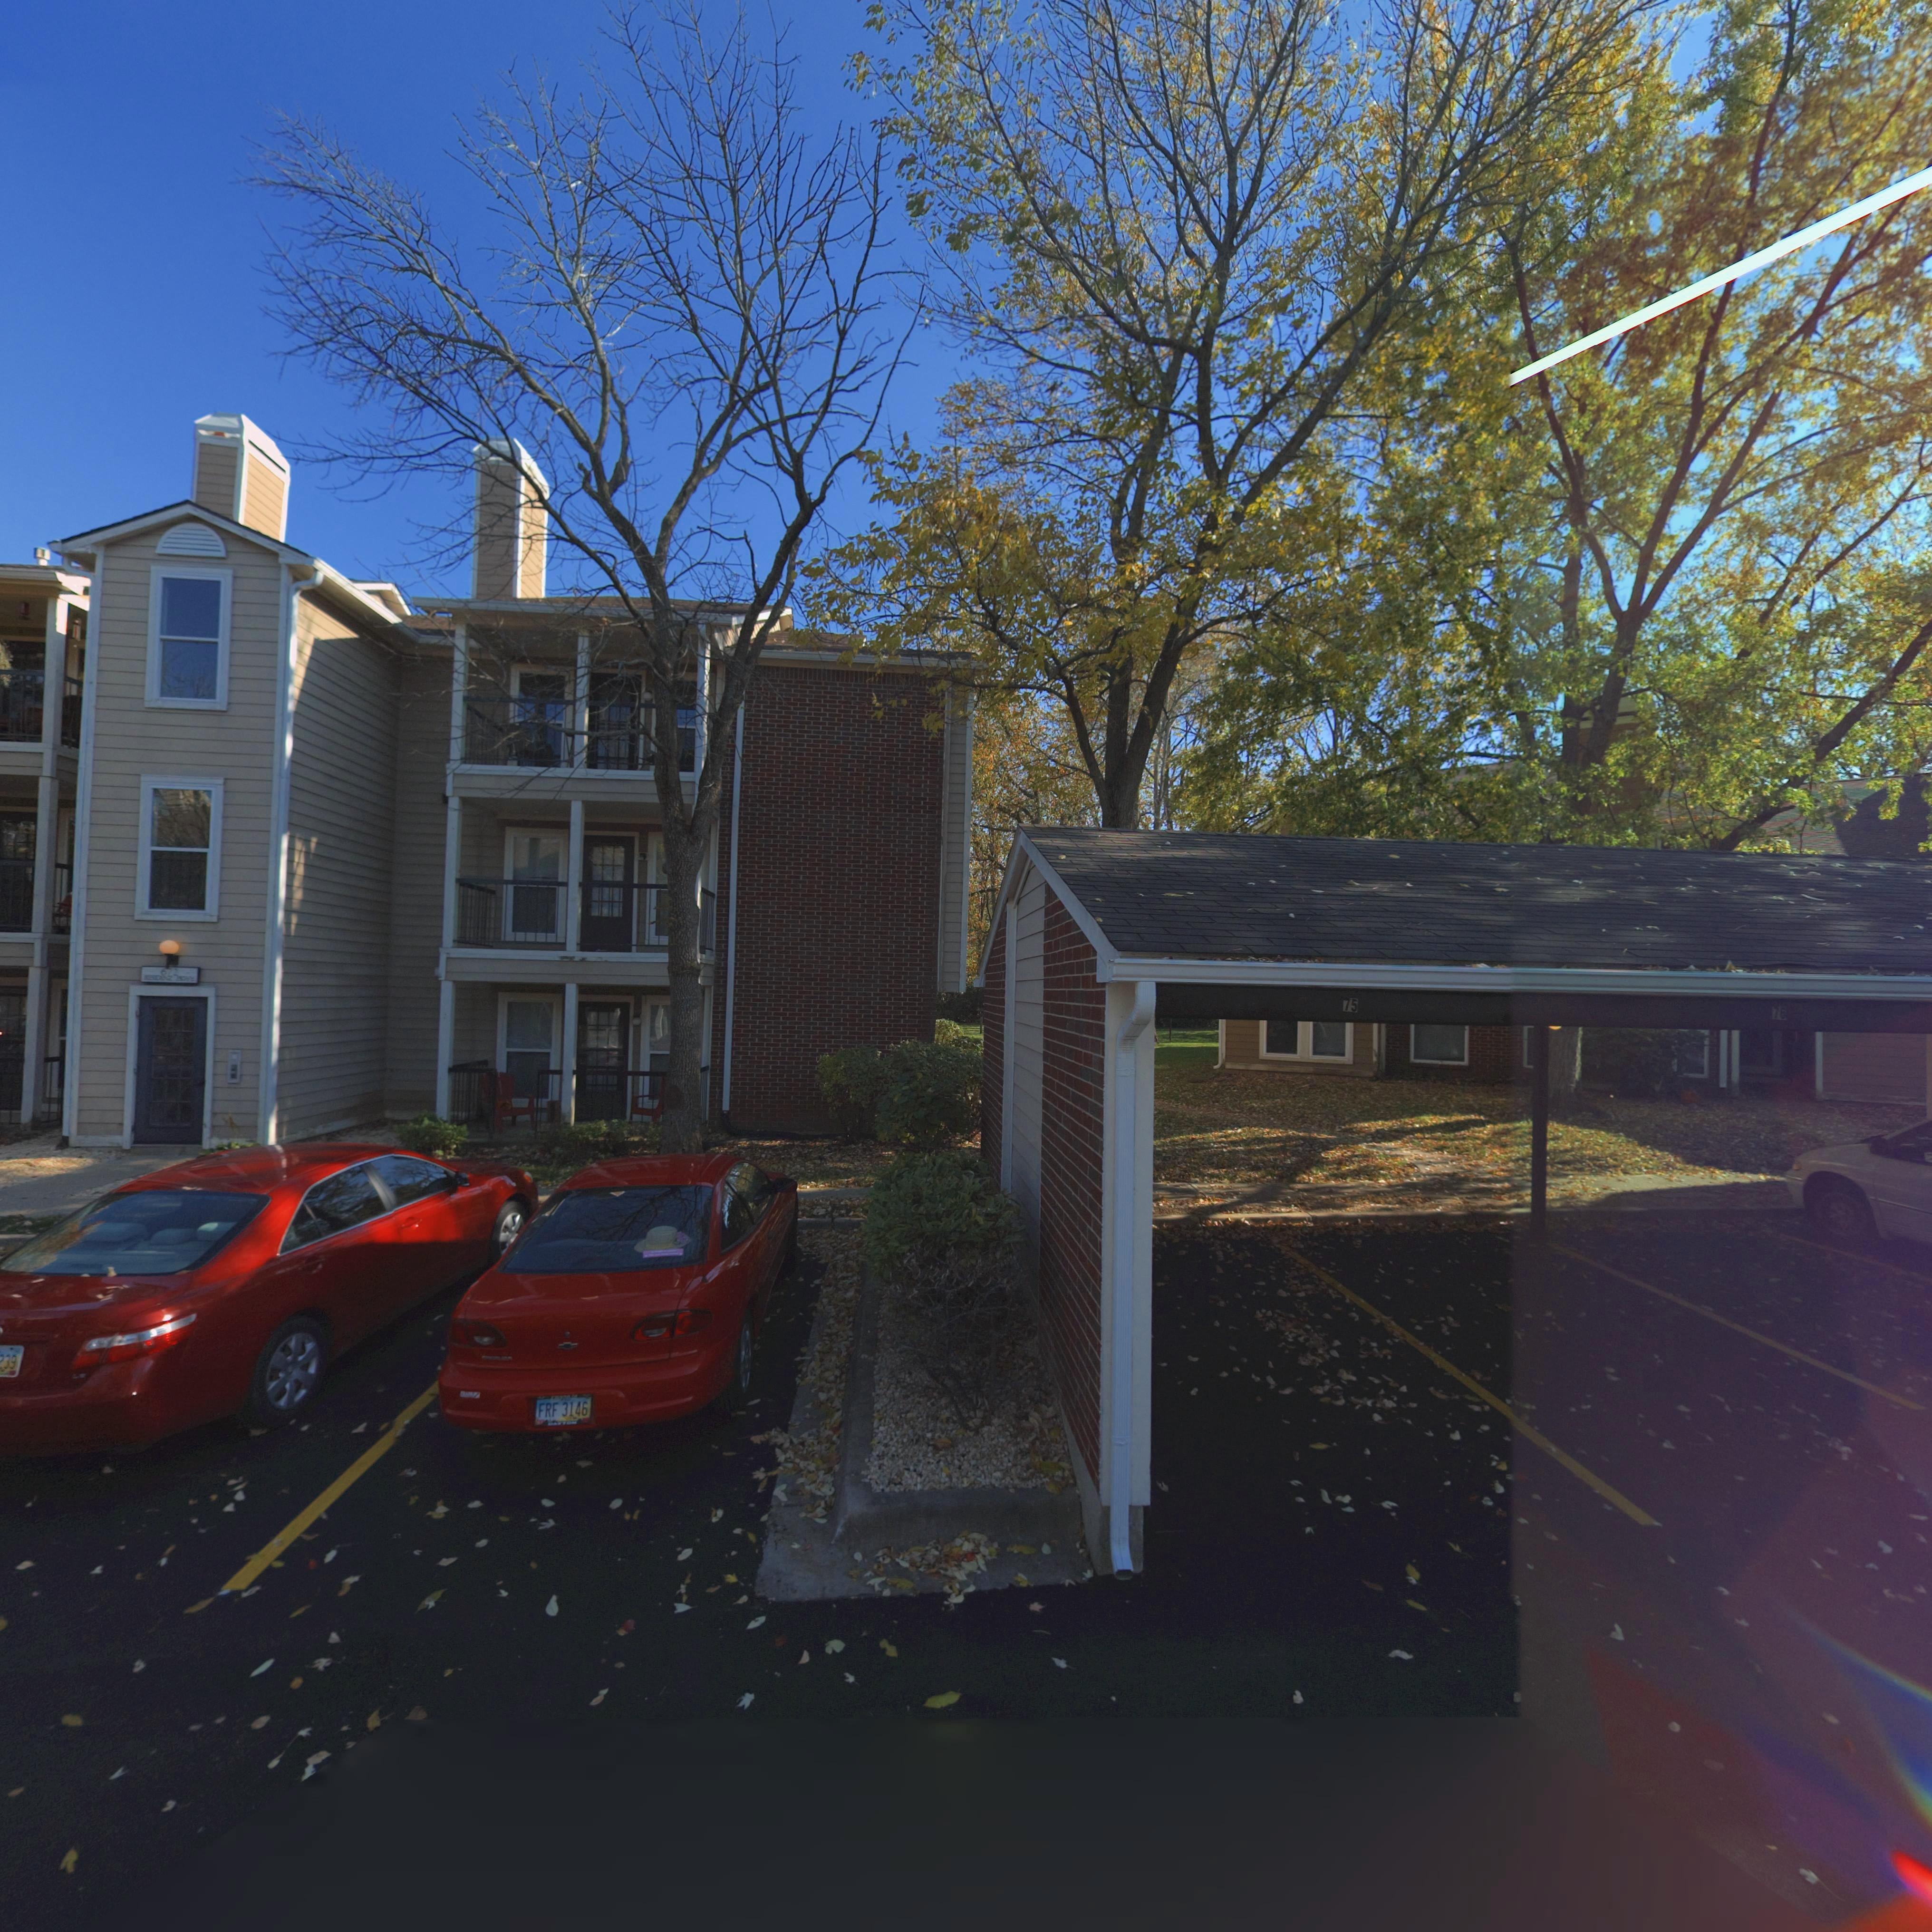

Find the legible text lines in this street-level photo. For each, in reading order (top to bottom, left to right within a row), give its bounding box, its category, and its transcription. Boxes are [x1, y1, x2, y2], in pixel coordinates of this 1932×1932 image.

[159, 966, 179, 977] StreetNumber: 6*2
[1343, 997, 1358, 1014] StreetNumber: 75
[1772, 1005, 1787, 1022] StreetNumber: 76
[3, 1353, 18, 1371] None: 39
[537, 1400, 589, 1419] None: FRF 3146